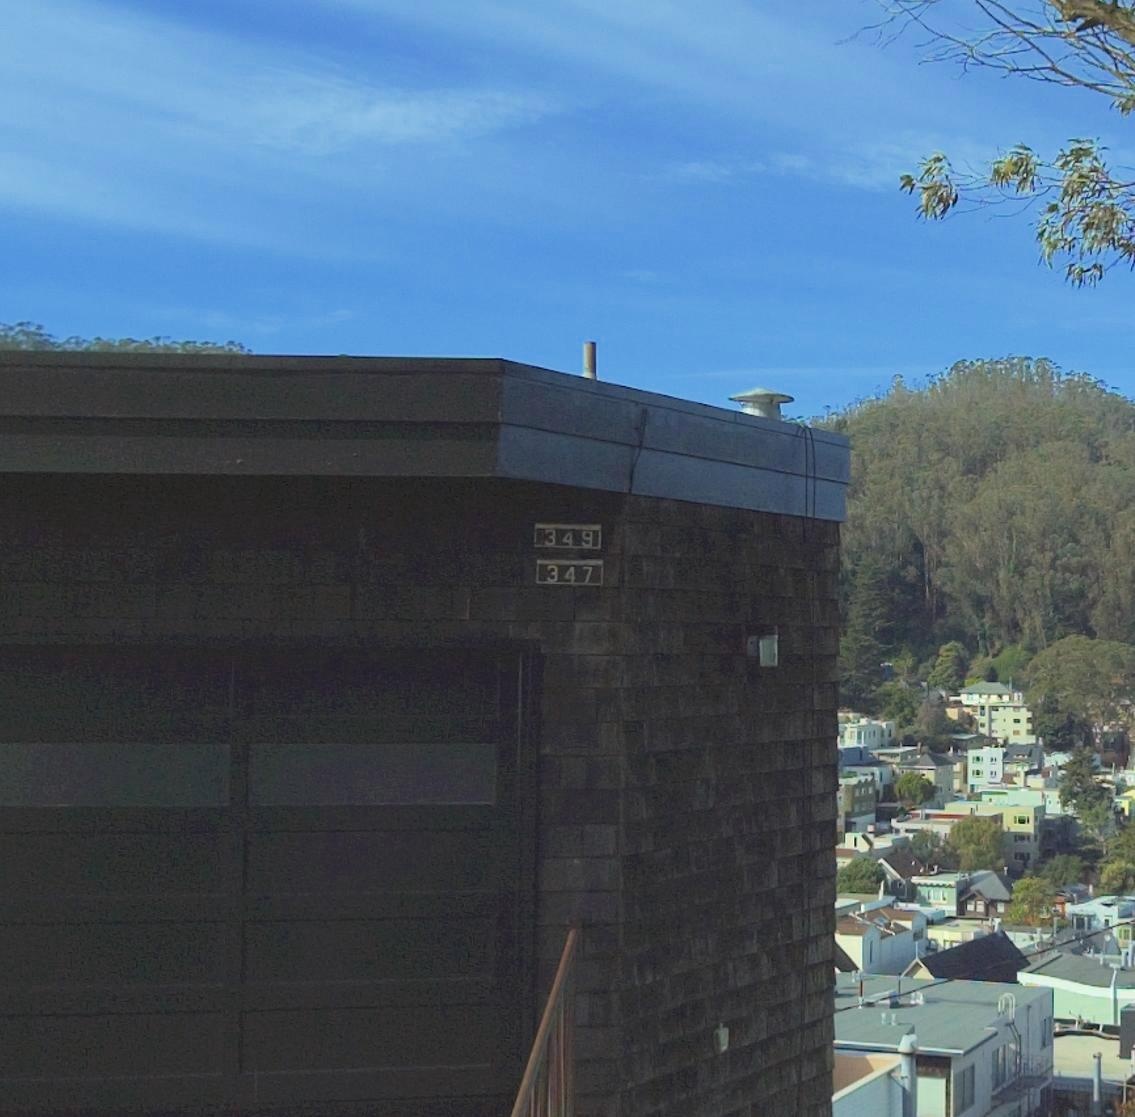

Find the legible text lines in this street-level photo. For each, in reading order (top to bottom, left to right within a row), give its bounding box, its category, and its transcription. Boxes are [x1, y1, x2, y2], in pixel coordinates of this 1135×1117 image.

[541, 528, 595, 548] StreetNumber: 349
[546, 563, 594, 584] StreetNumber: 347